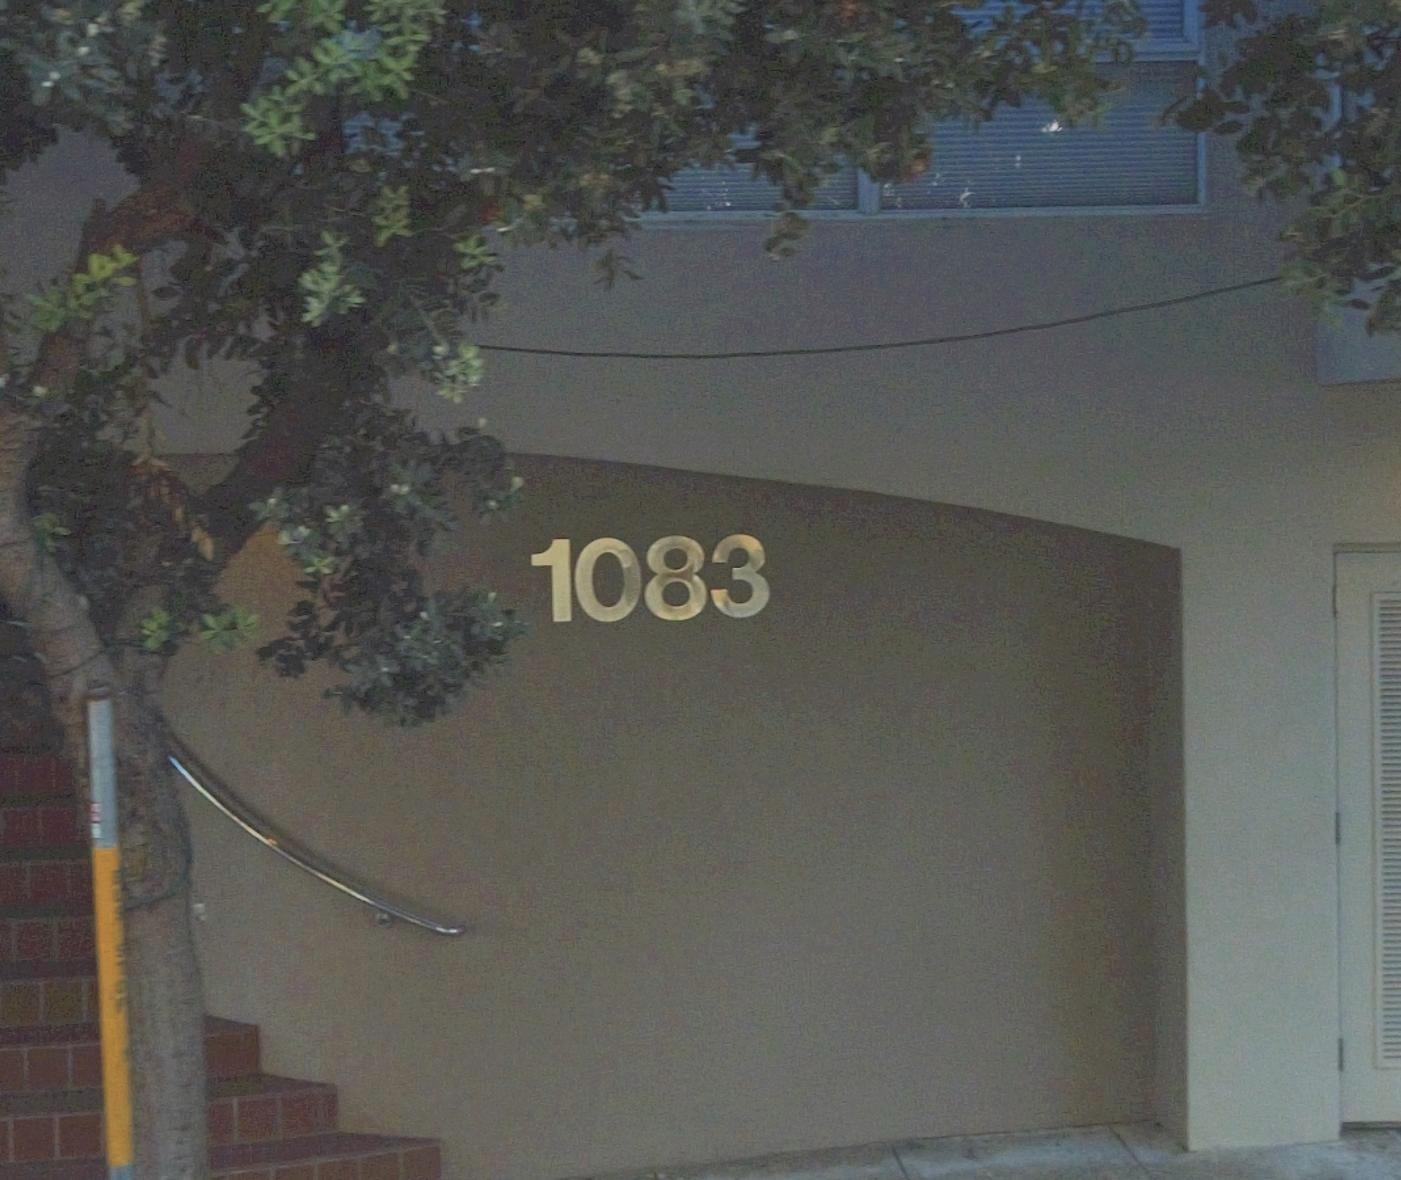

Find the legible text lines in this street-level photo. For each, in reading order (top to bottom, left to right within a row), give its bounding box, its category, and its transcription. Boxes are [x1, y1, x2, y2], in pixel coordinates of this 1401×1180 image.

[525, 530, 773, 626] StreetNumber: 1083